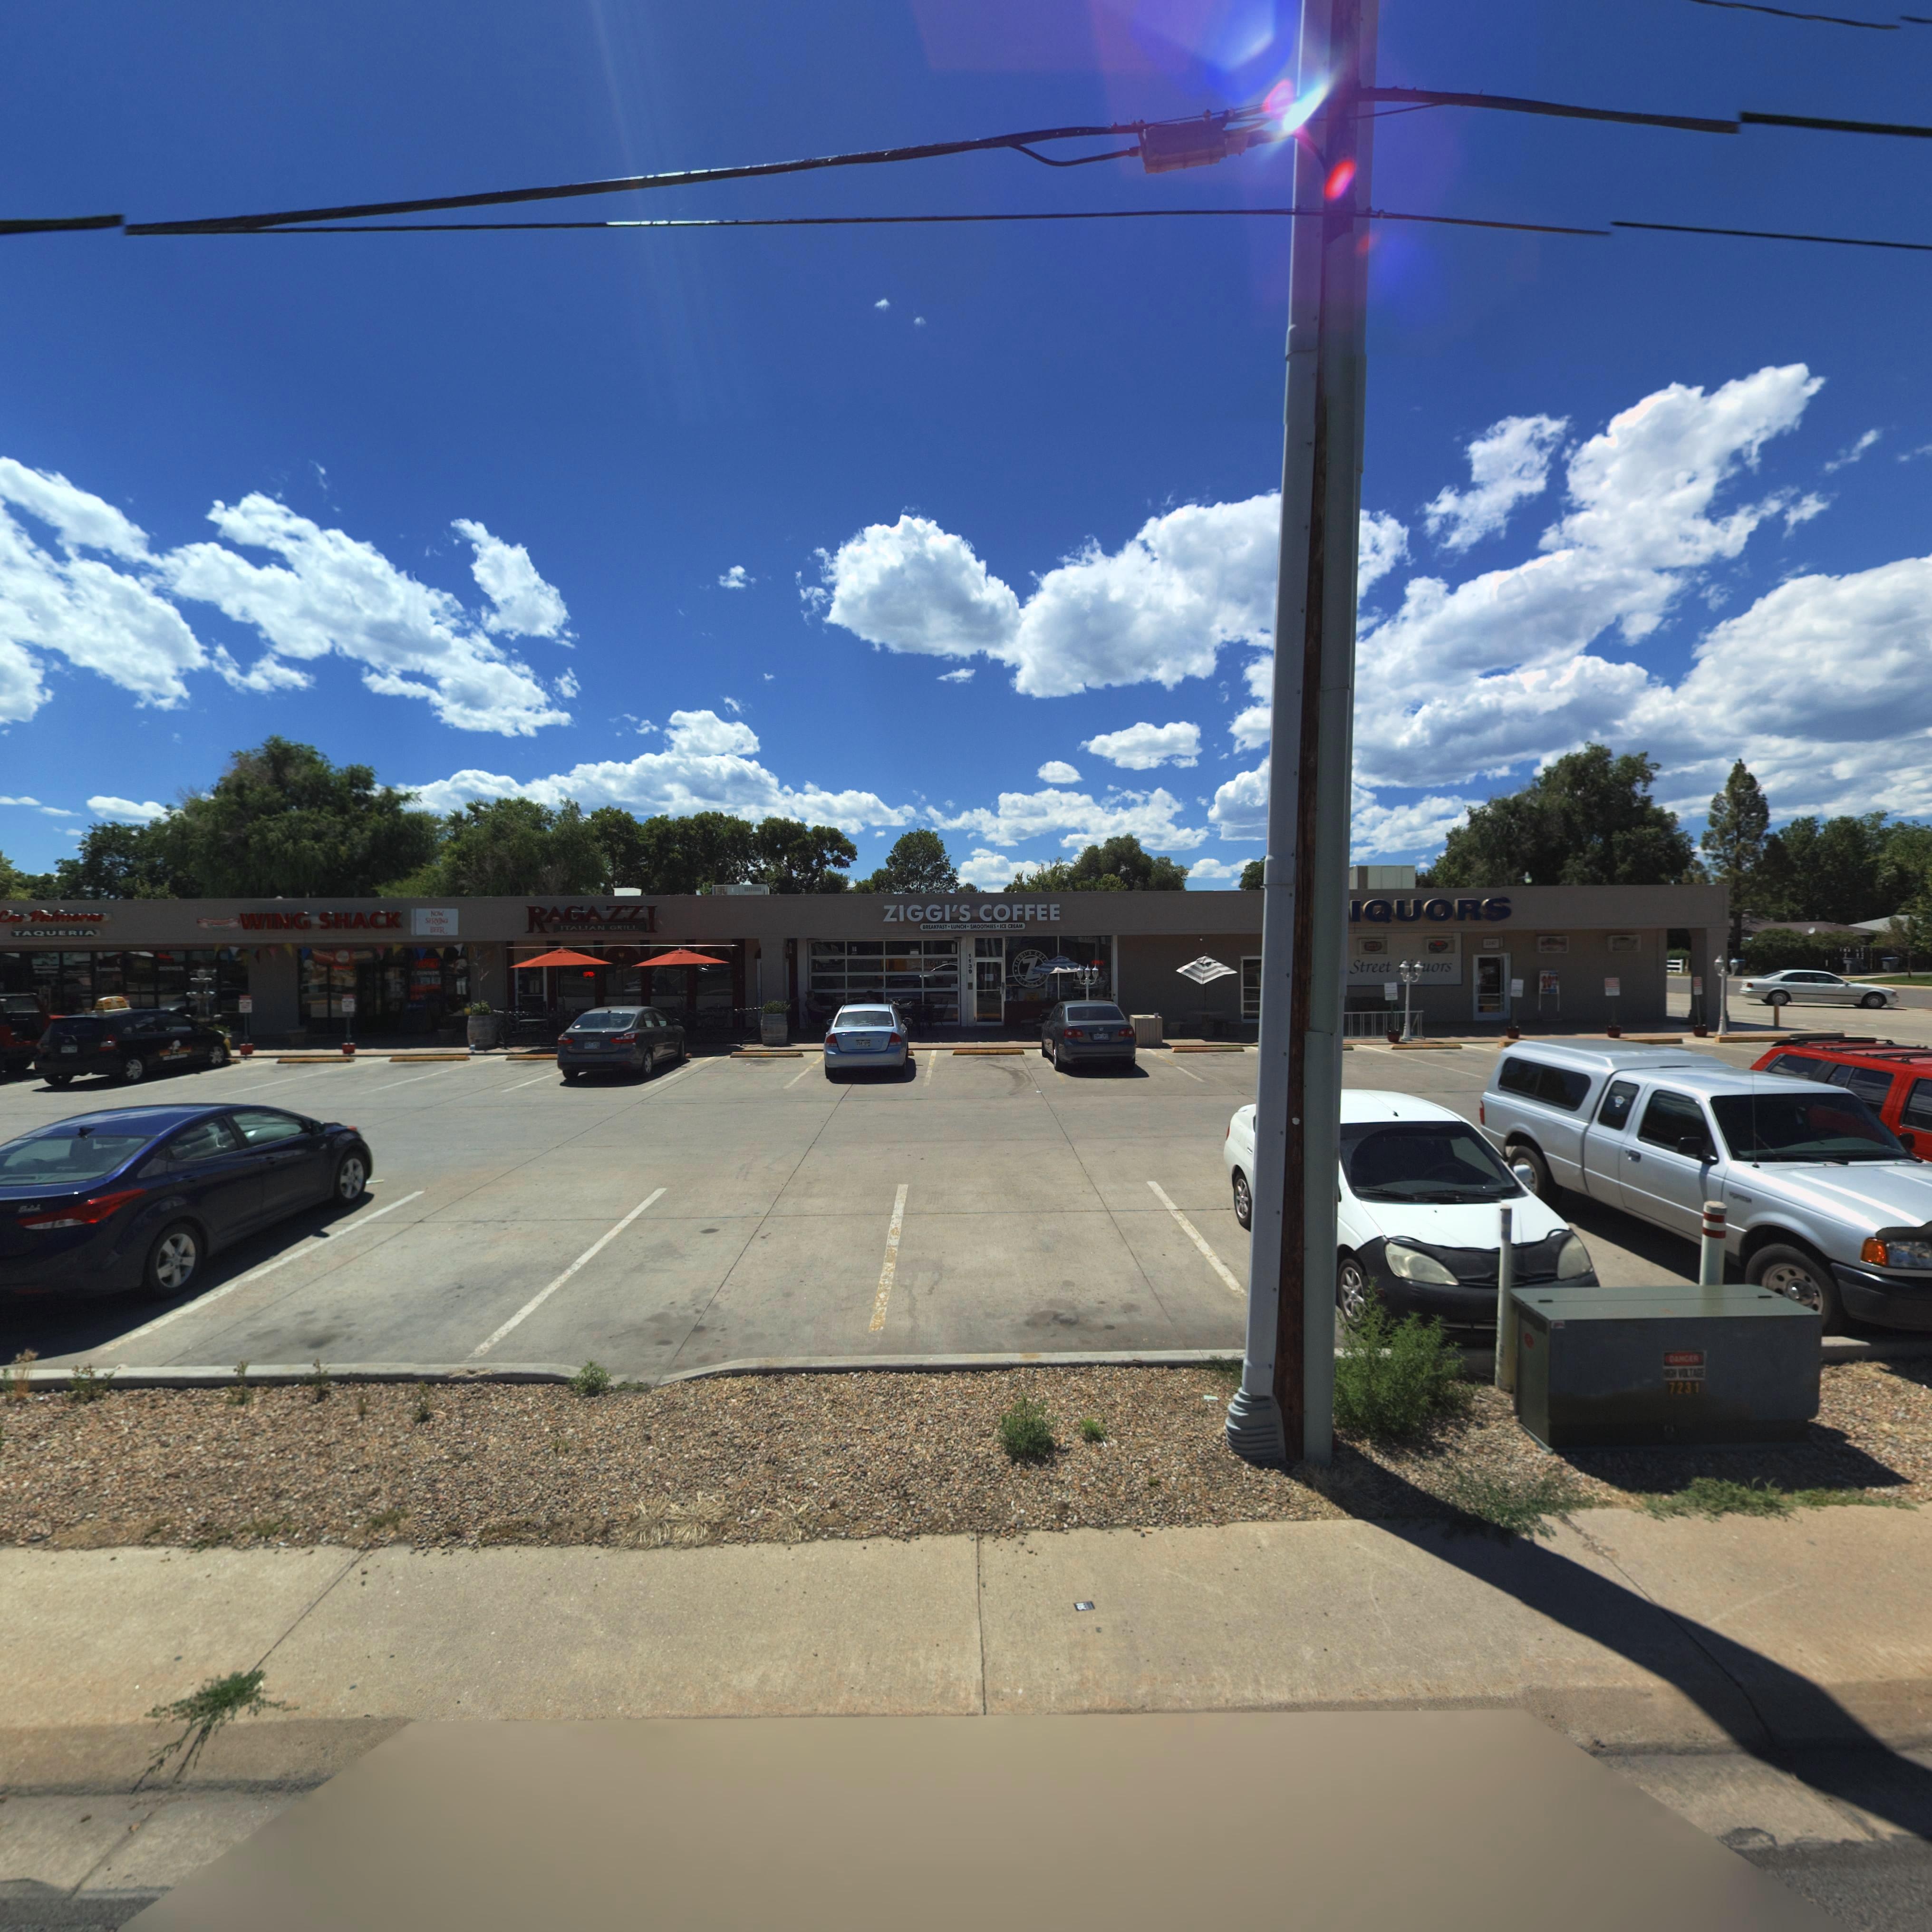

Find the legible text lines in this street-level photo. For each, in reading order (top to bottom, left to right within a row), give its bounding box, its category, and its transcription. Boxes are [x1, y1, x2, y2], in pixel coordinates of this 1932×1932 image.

[13, 929, 96, 936] BusinessName: TAQUERIA
[4, 908, 105, 923] BusinessName: *as Palmeras
[237, 909, 405, 930] BusinessName: WING SHACK
[522, 905, 660, 934] BusinessName: RAGAZZI
[560, 925, 639, 931] BusinessName: ITALIAN GRILL
[881, 903, 1061, 922] BusinessName: ZIGGI'S COFFEE
[1352, 897, 1511, 923] BusinessName: IQUORS
[1485, 939, 1497, 945] StreetNumber: 11*
[523, 952, 537, 958] StreetNumber: 1***
[967, 952, 973, 974] StreetNumber: 1139
[1013, 950, 1047, 967] BusinessName: ZIGGI'S COFF
[1347, 956, 1454, 975] BusinessName: Street ***uors